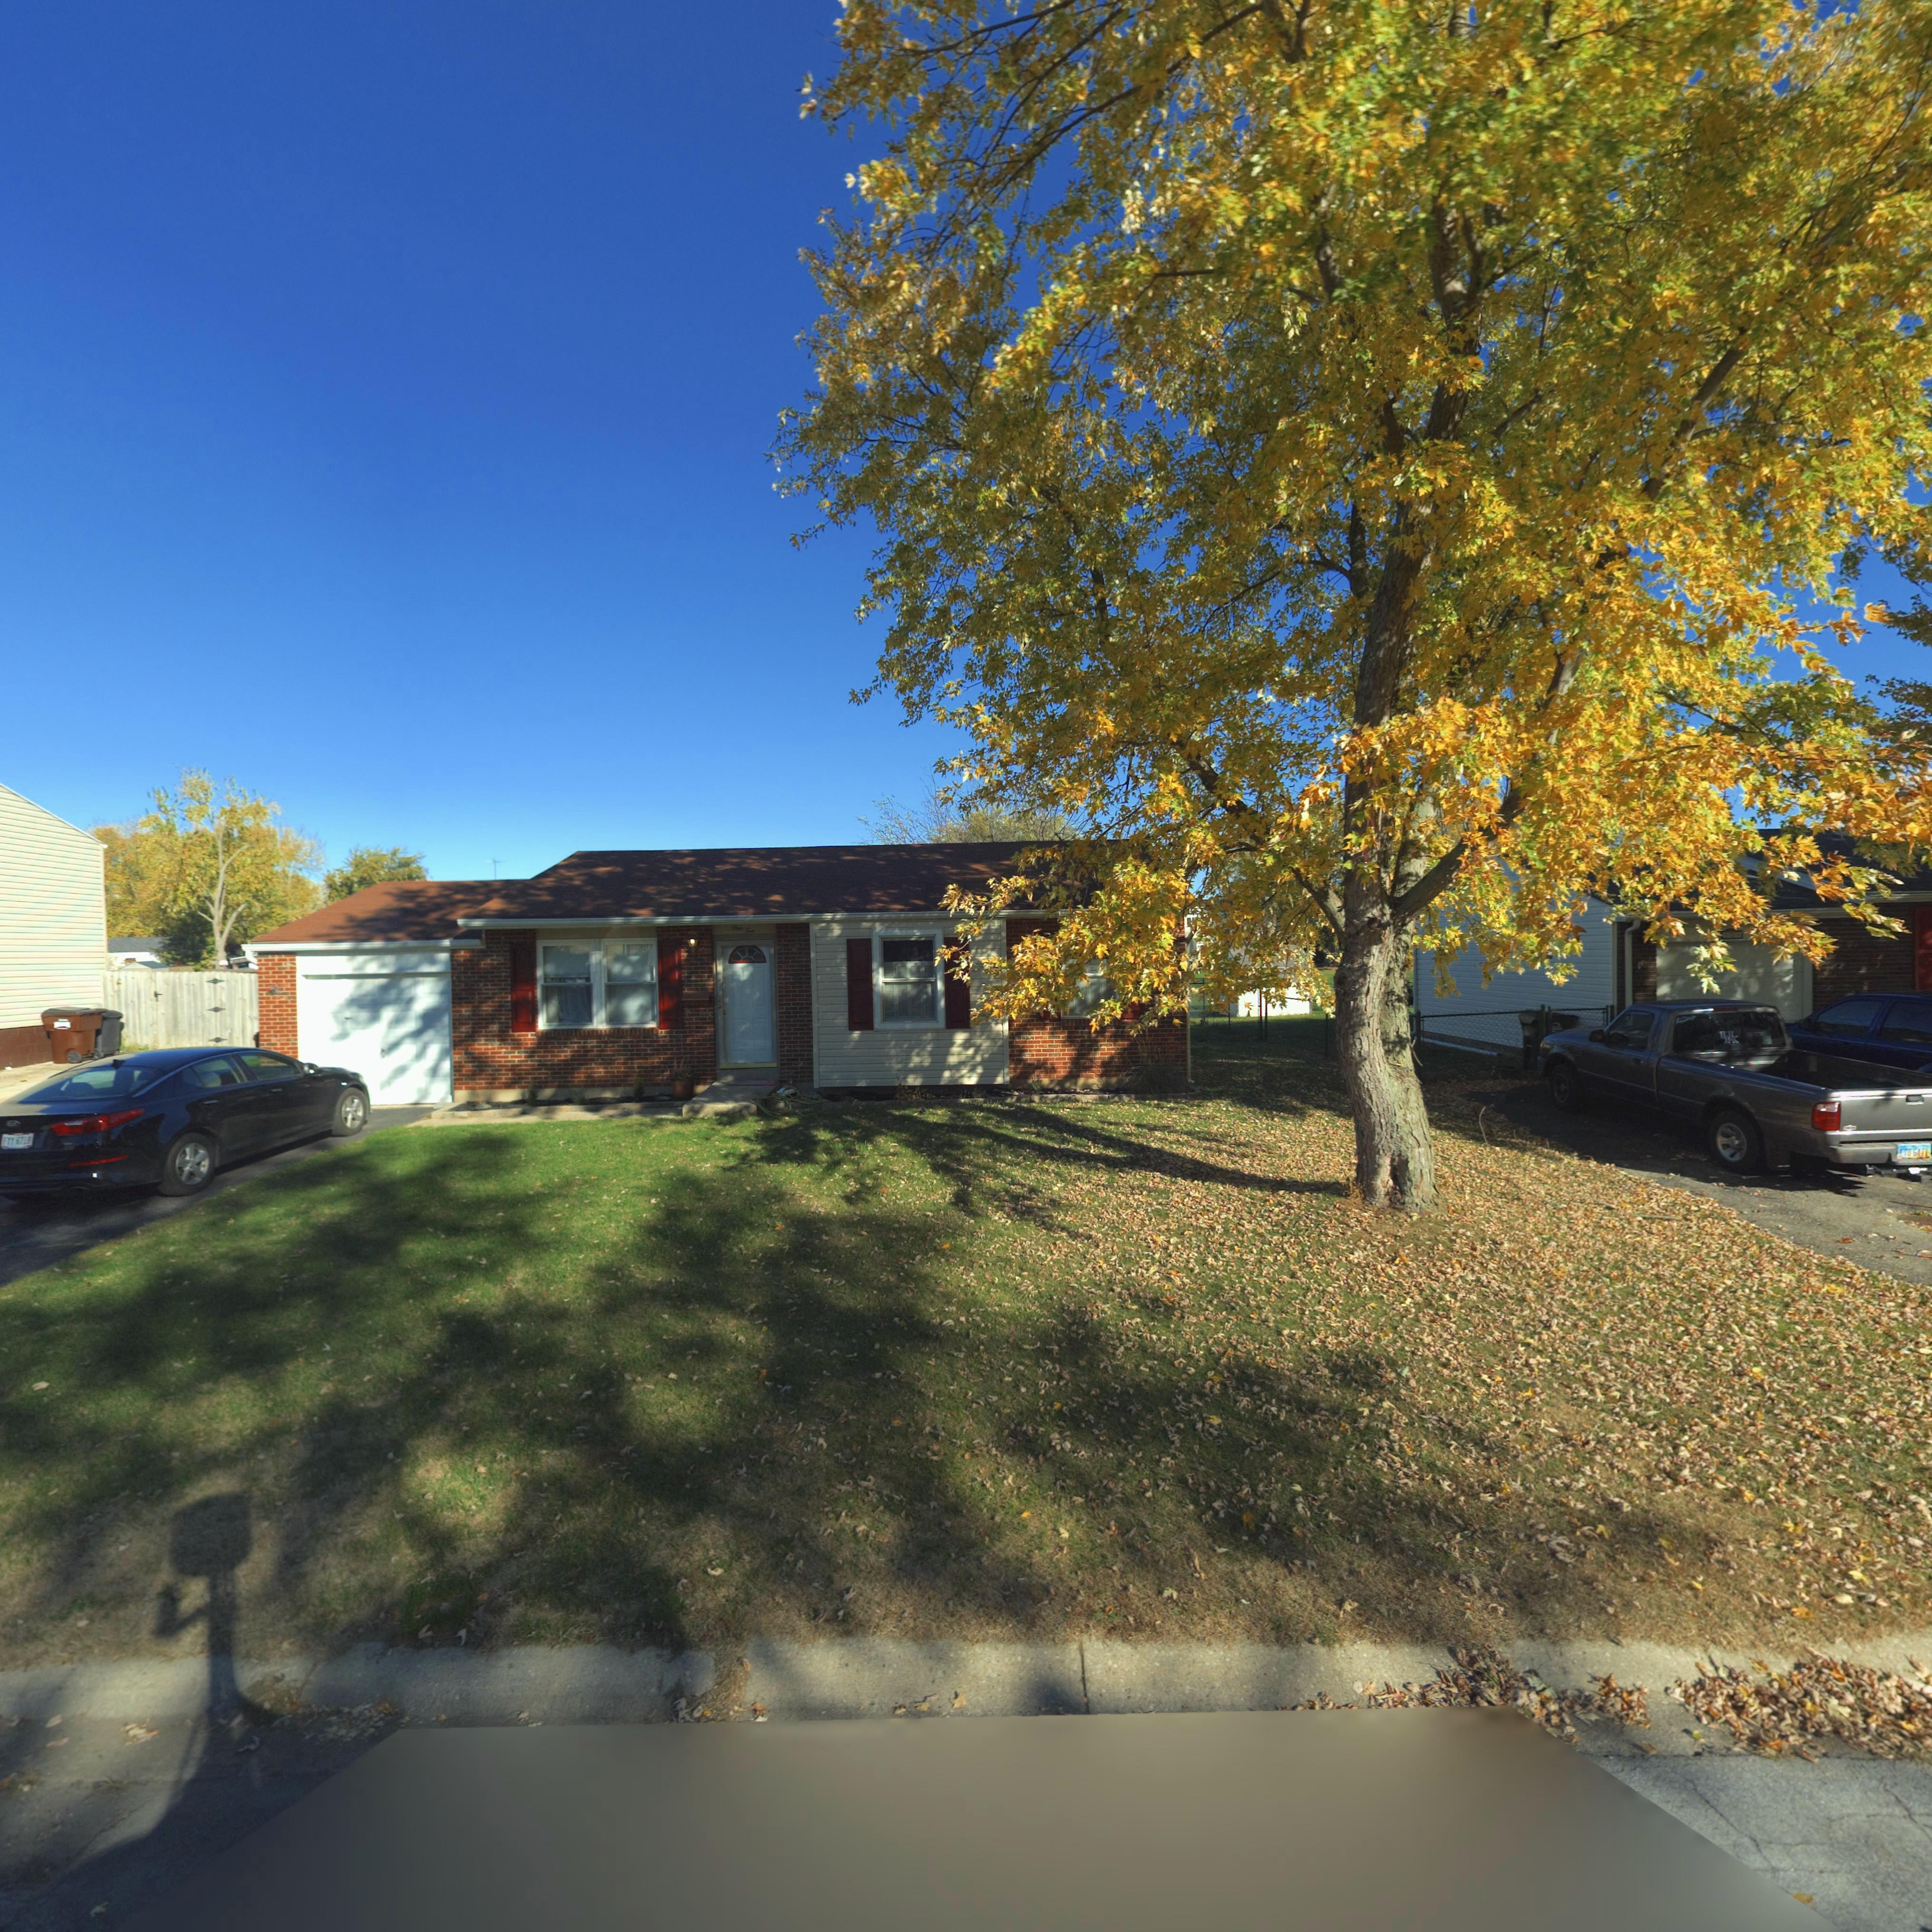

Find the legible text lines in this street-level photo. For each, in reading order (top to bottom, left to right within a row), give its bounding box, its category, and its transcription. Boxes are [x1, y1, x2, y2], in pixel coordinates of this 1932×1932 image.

[731, 925, 744, 931] StreetNumber: One
[744, 927, 755, 934] StreetNumber: Ten